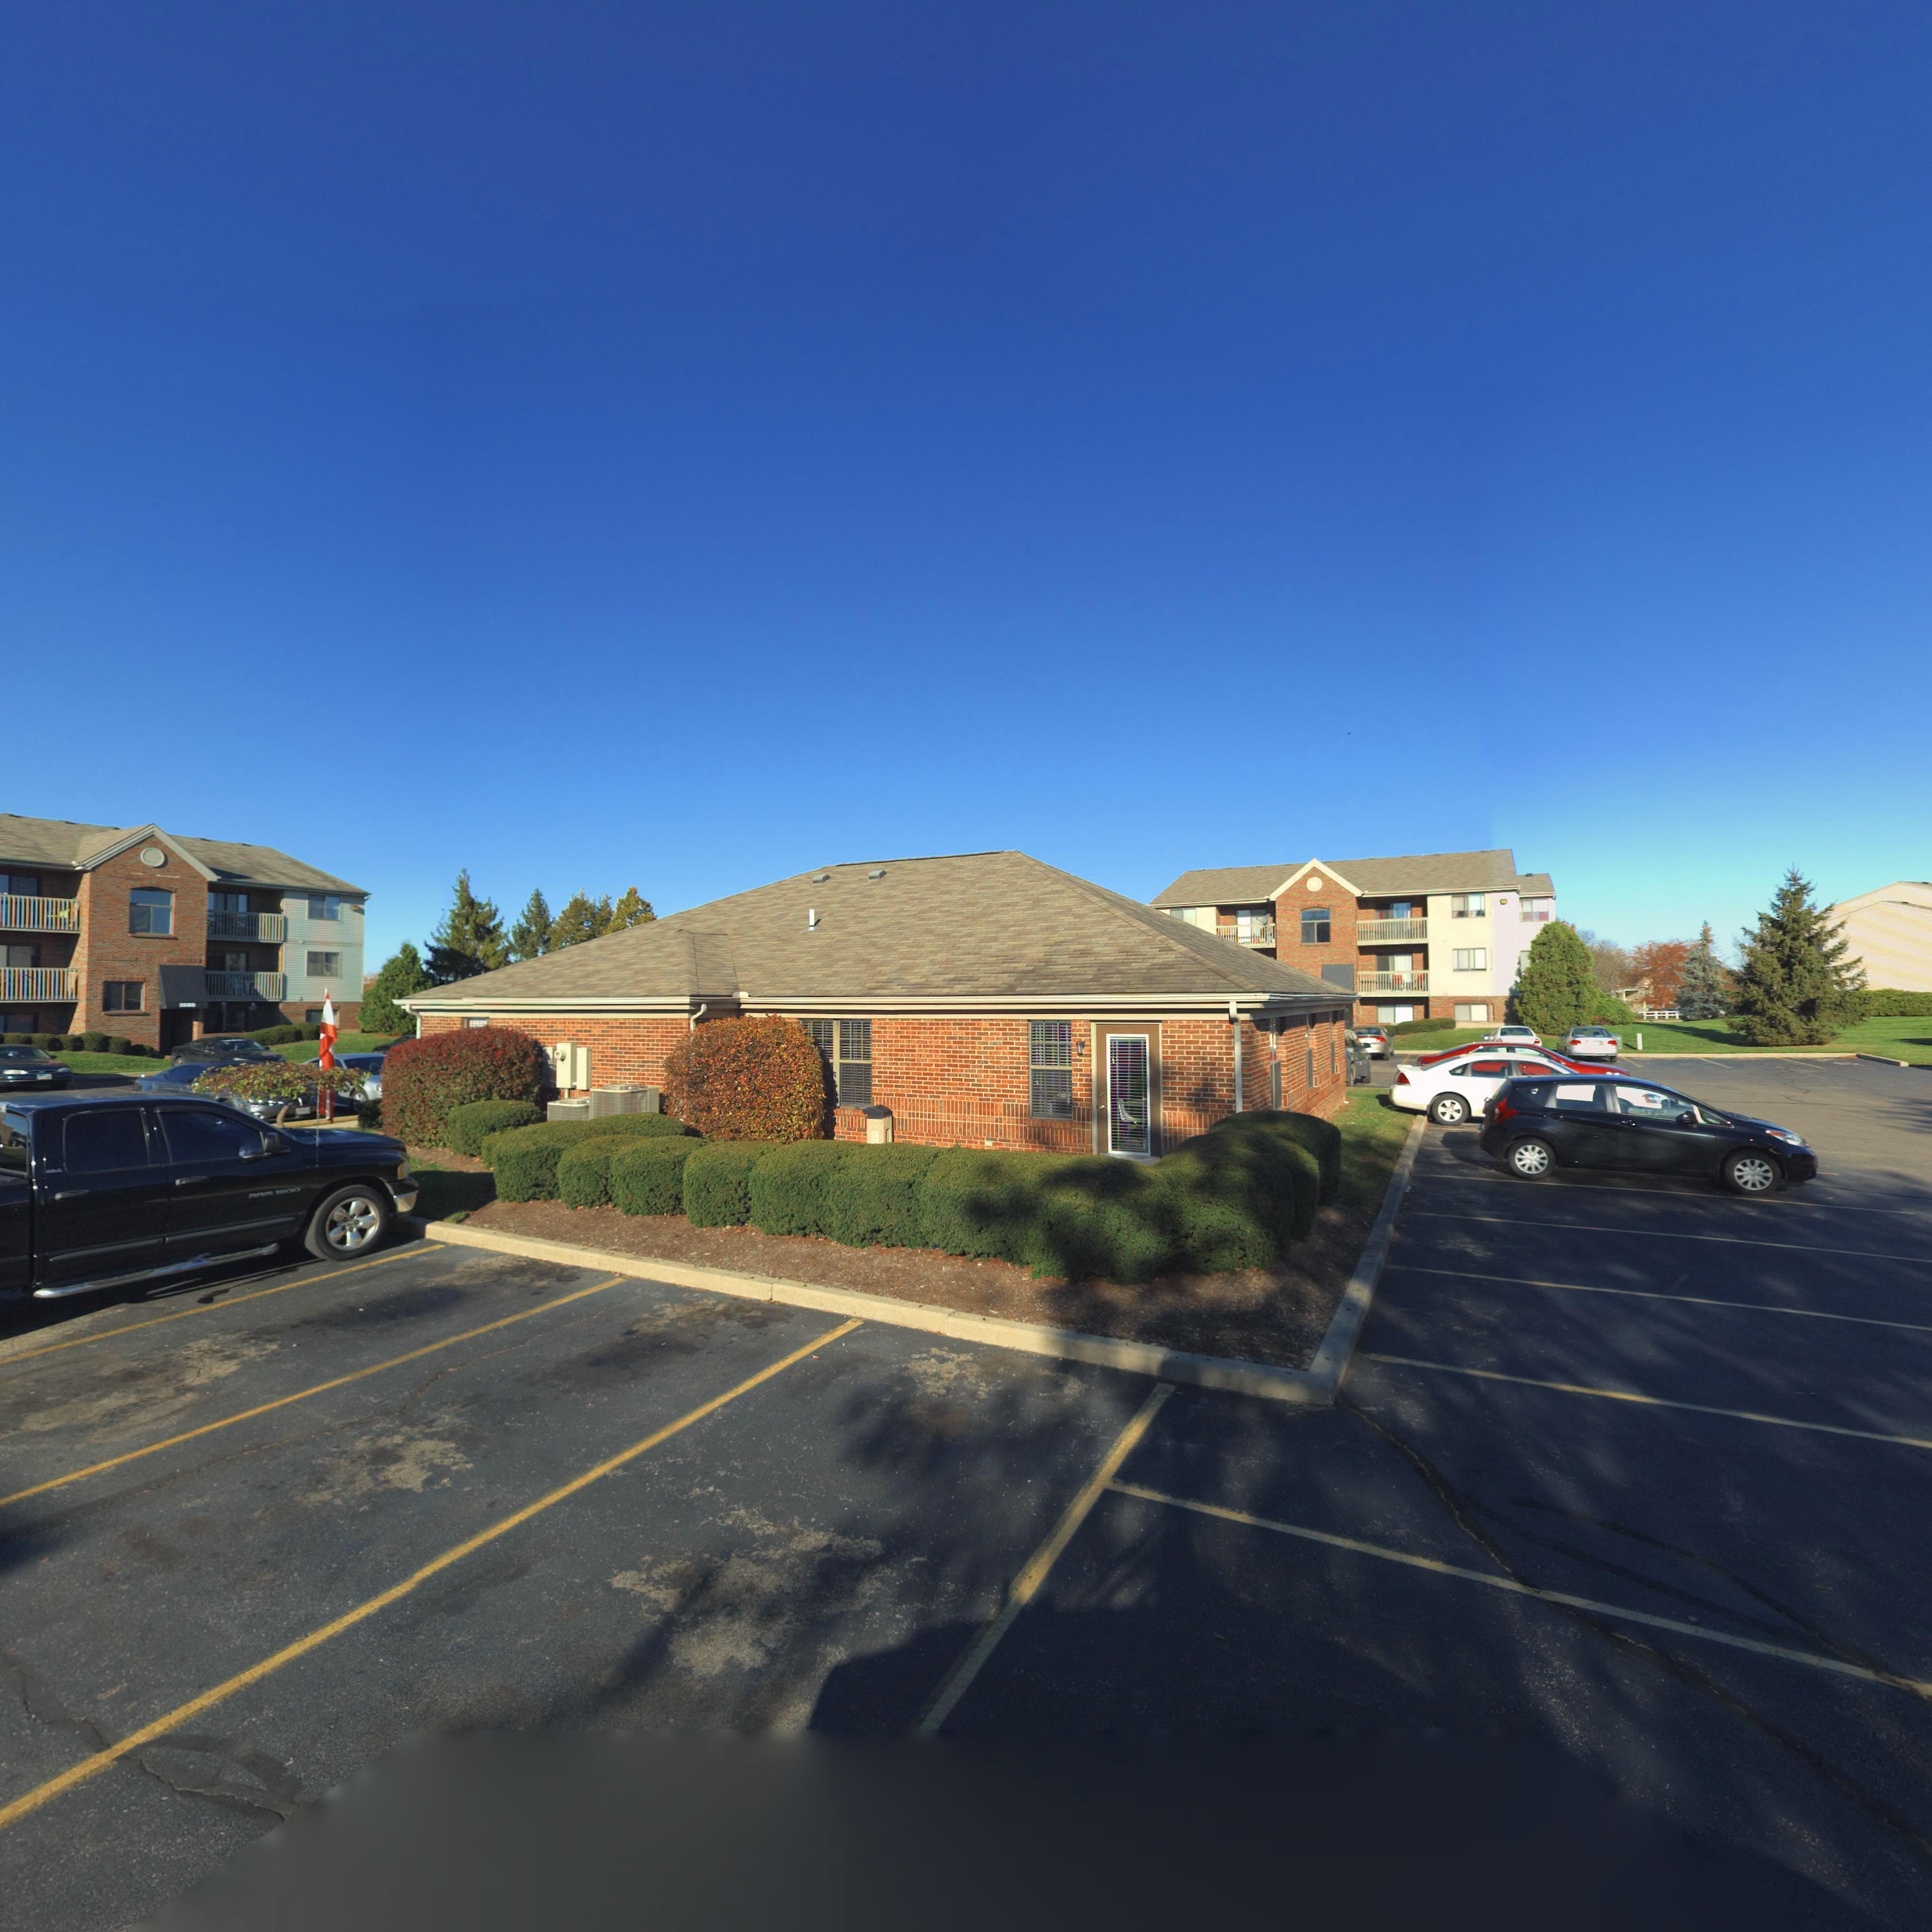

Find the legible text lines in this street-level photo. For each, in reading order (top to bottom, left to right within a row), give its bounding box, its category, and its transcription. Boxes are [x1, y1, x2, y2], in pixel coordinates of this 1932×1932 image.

[178, 1002, 196, 1008] StreetNumber: 2***